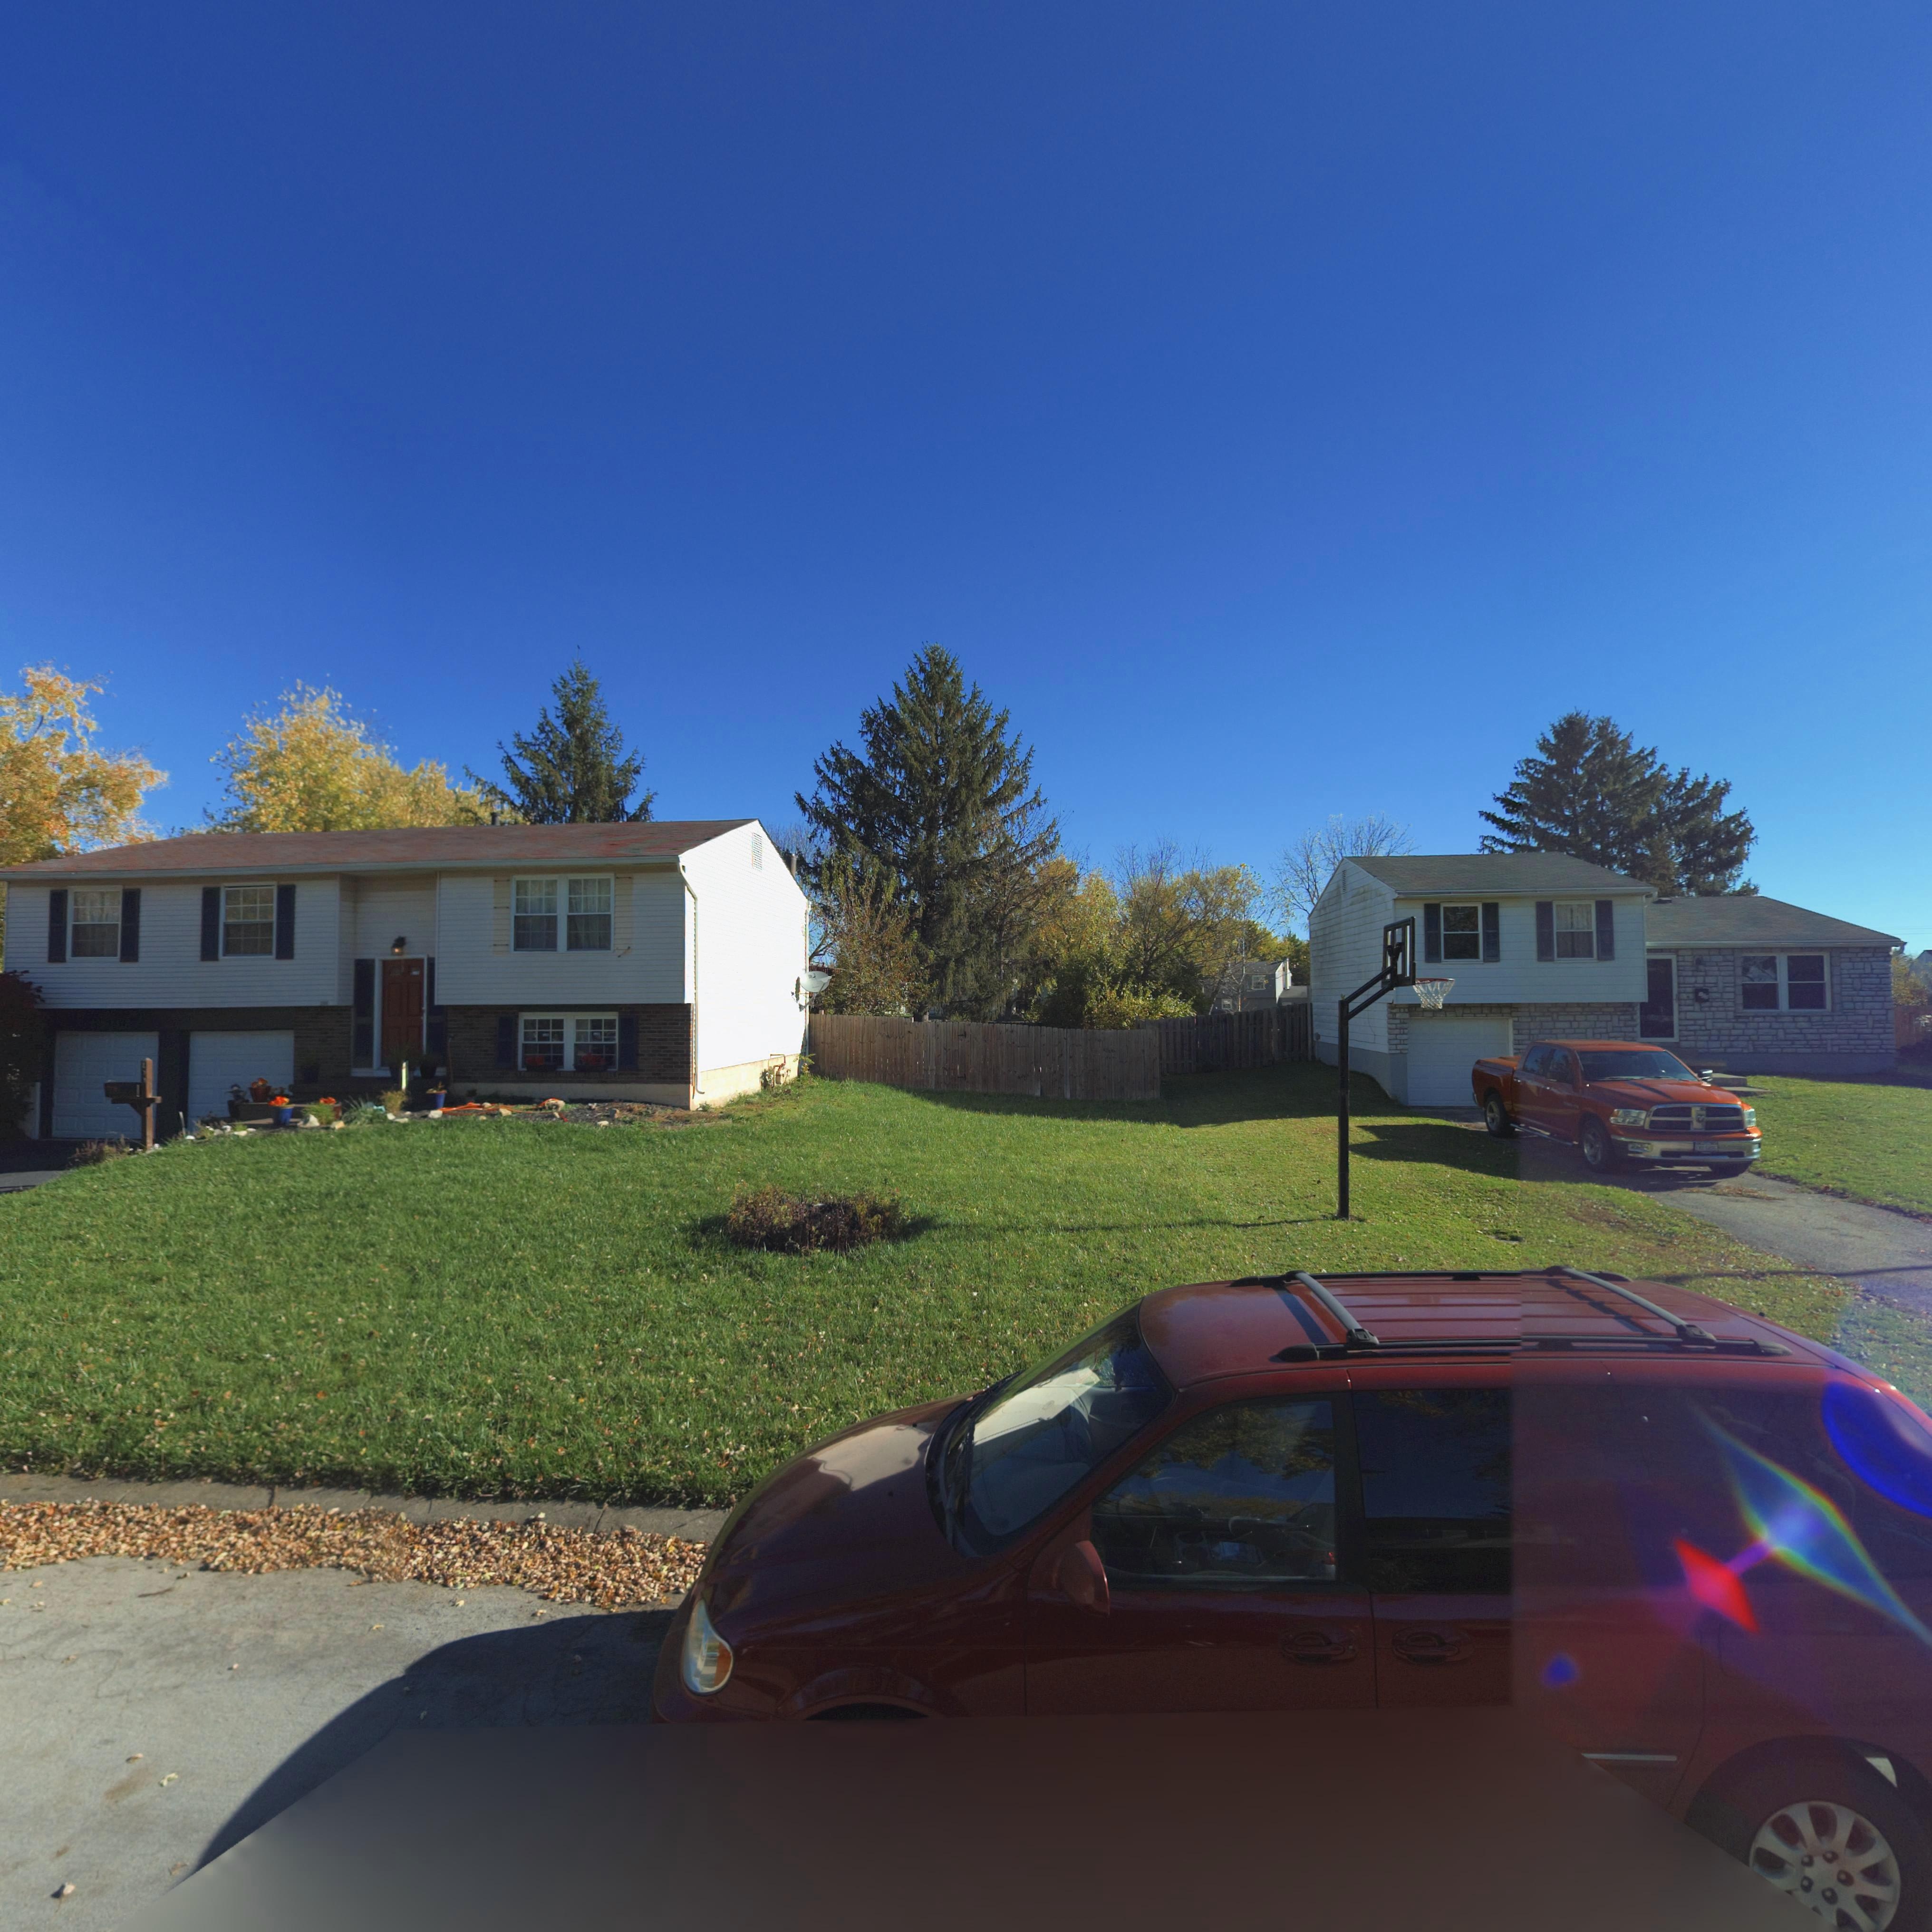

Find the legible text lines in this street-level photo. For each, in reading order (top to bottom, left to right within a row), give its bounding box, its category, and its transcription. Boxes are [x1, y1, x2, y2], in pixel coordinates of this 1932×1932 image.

[141, 1062, 146, 1084] StreetNumber: 1**